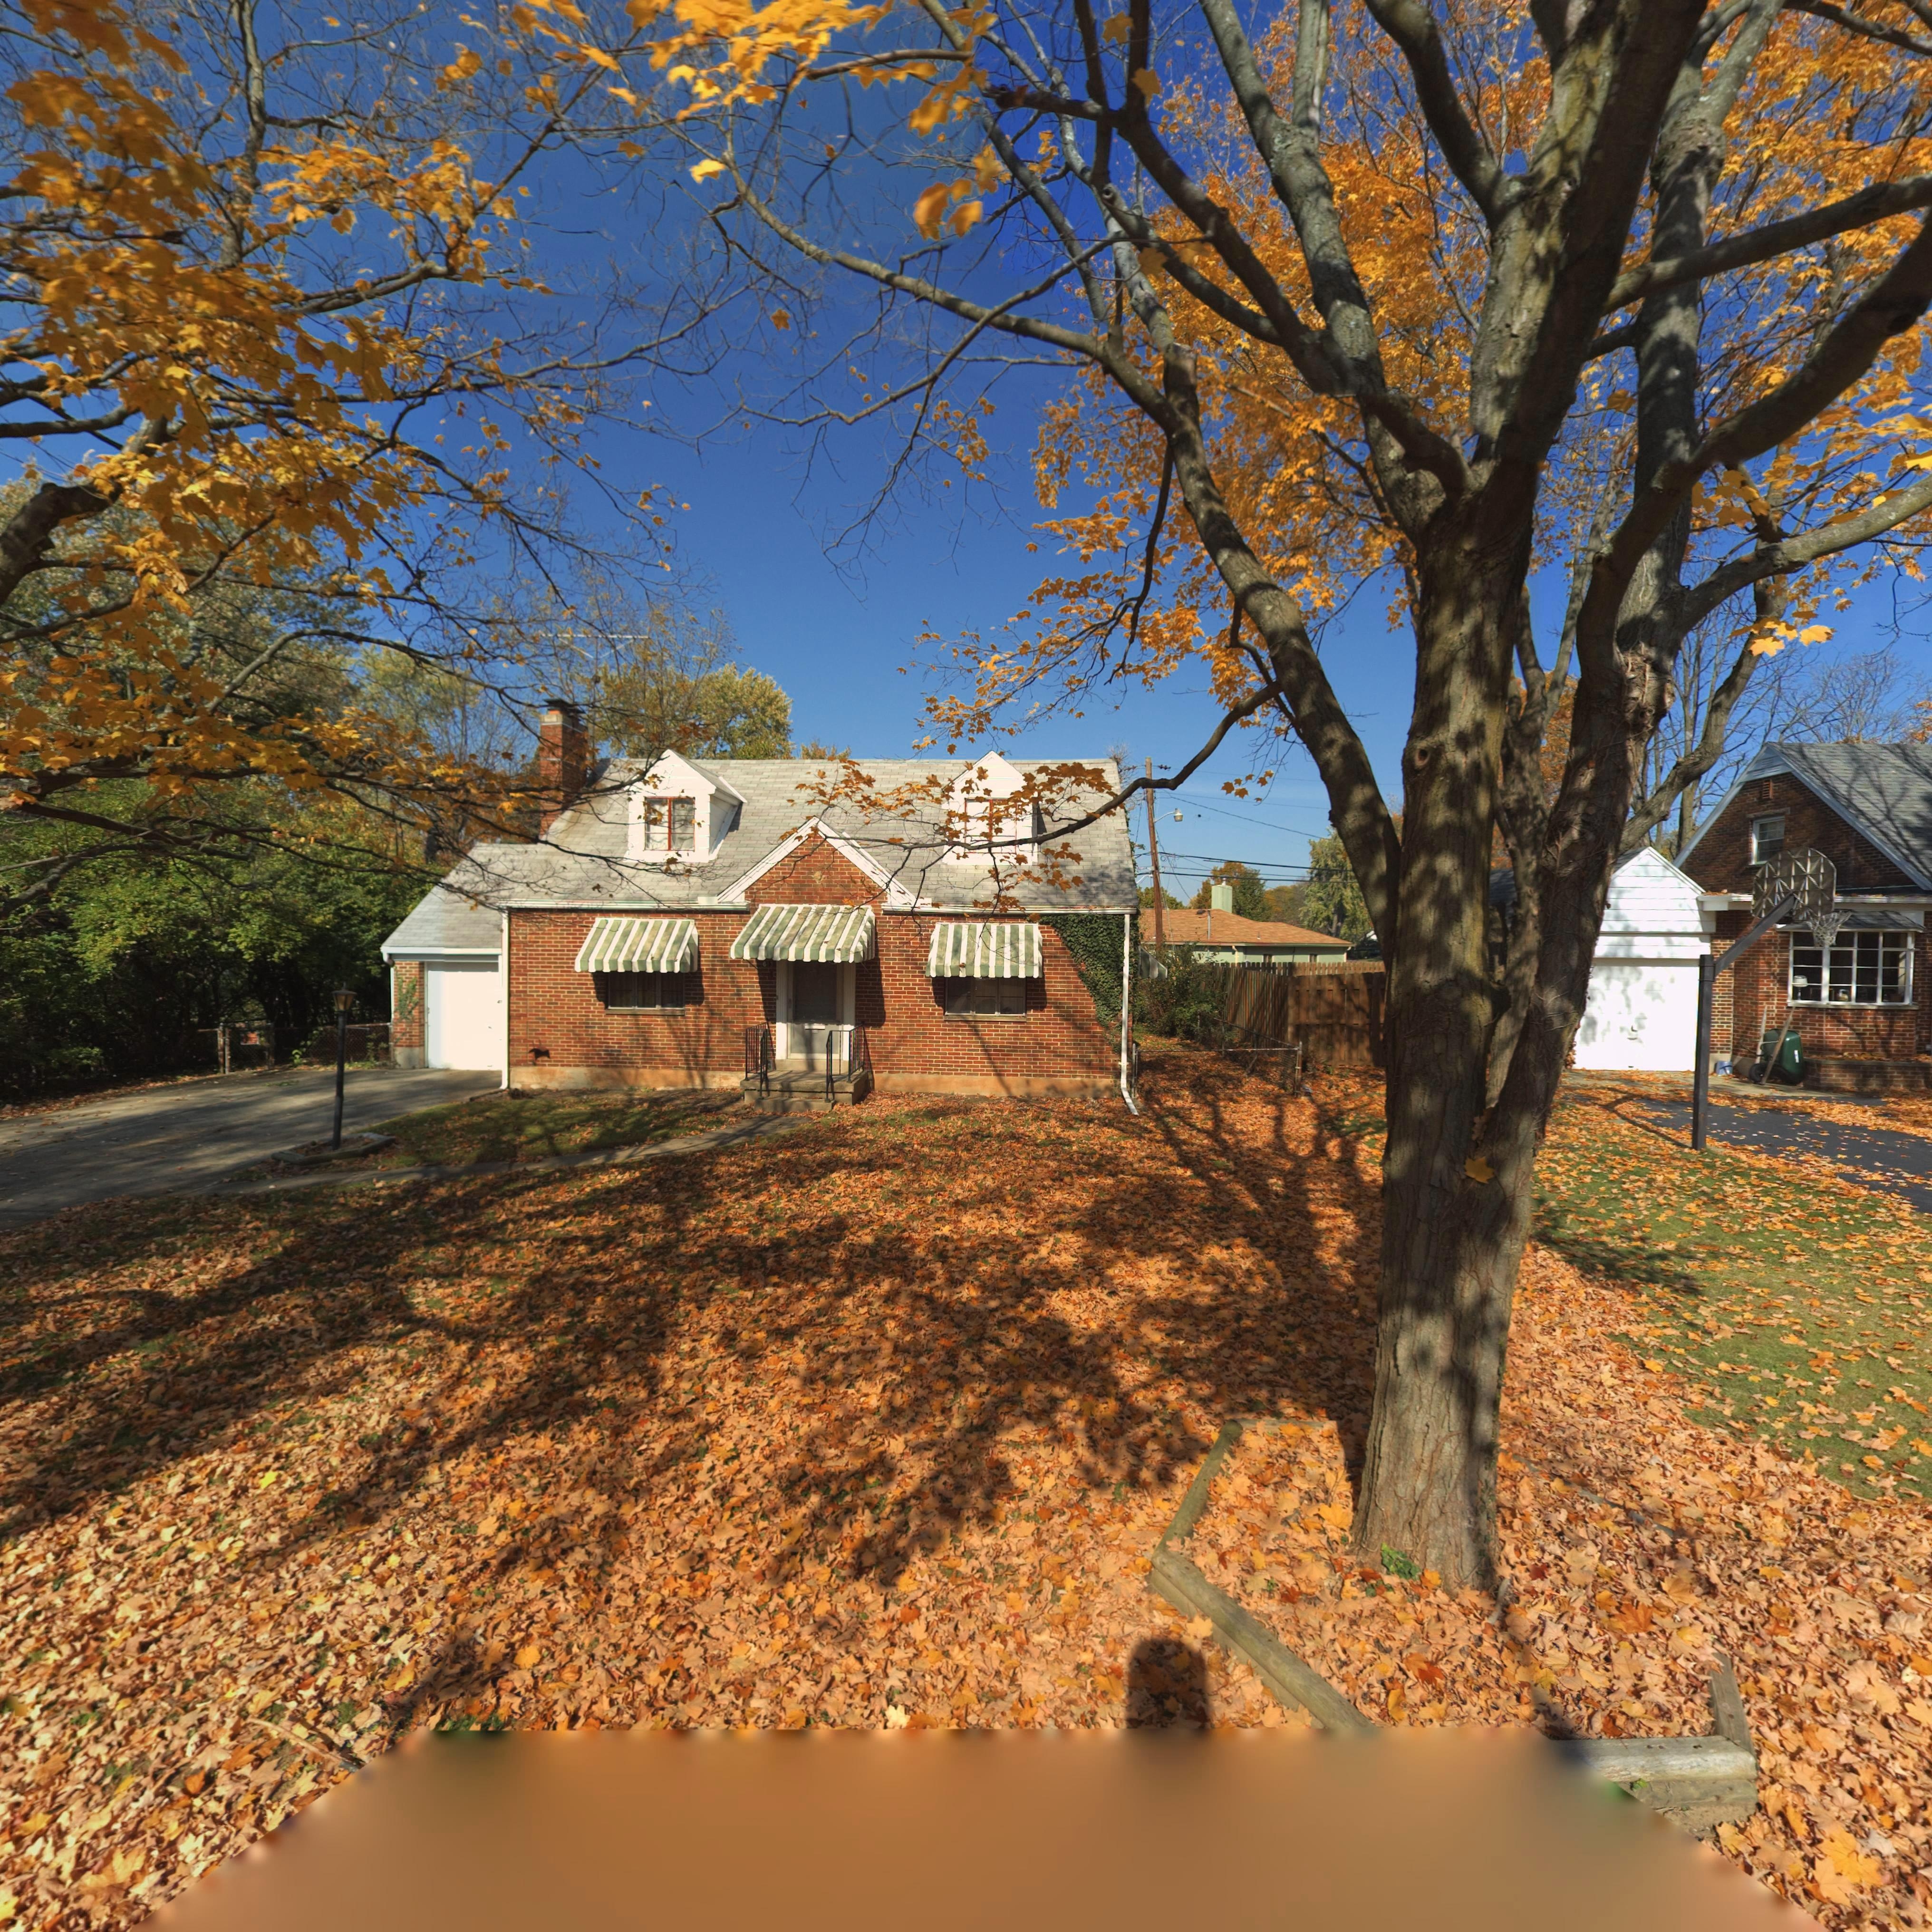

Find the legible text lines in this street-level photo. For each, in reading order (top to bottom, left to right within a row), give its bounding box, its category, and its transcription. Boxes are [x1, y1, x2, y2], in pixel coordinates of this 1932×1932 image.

[763, 961, 773, 967] StreetNumber: 613